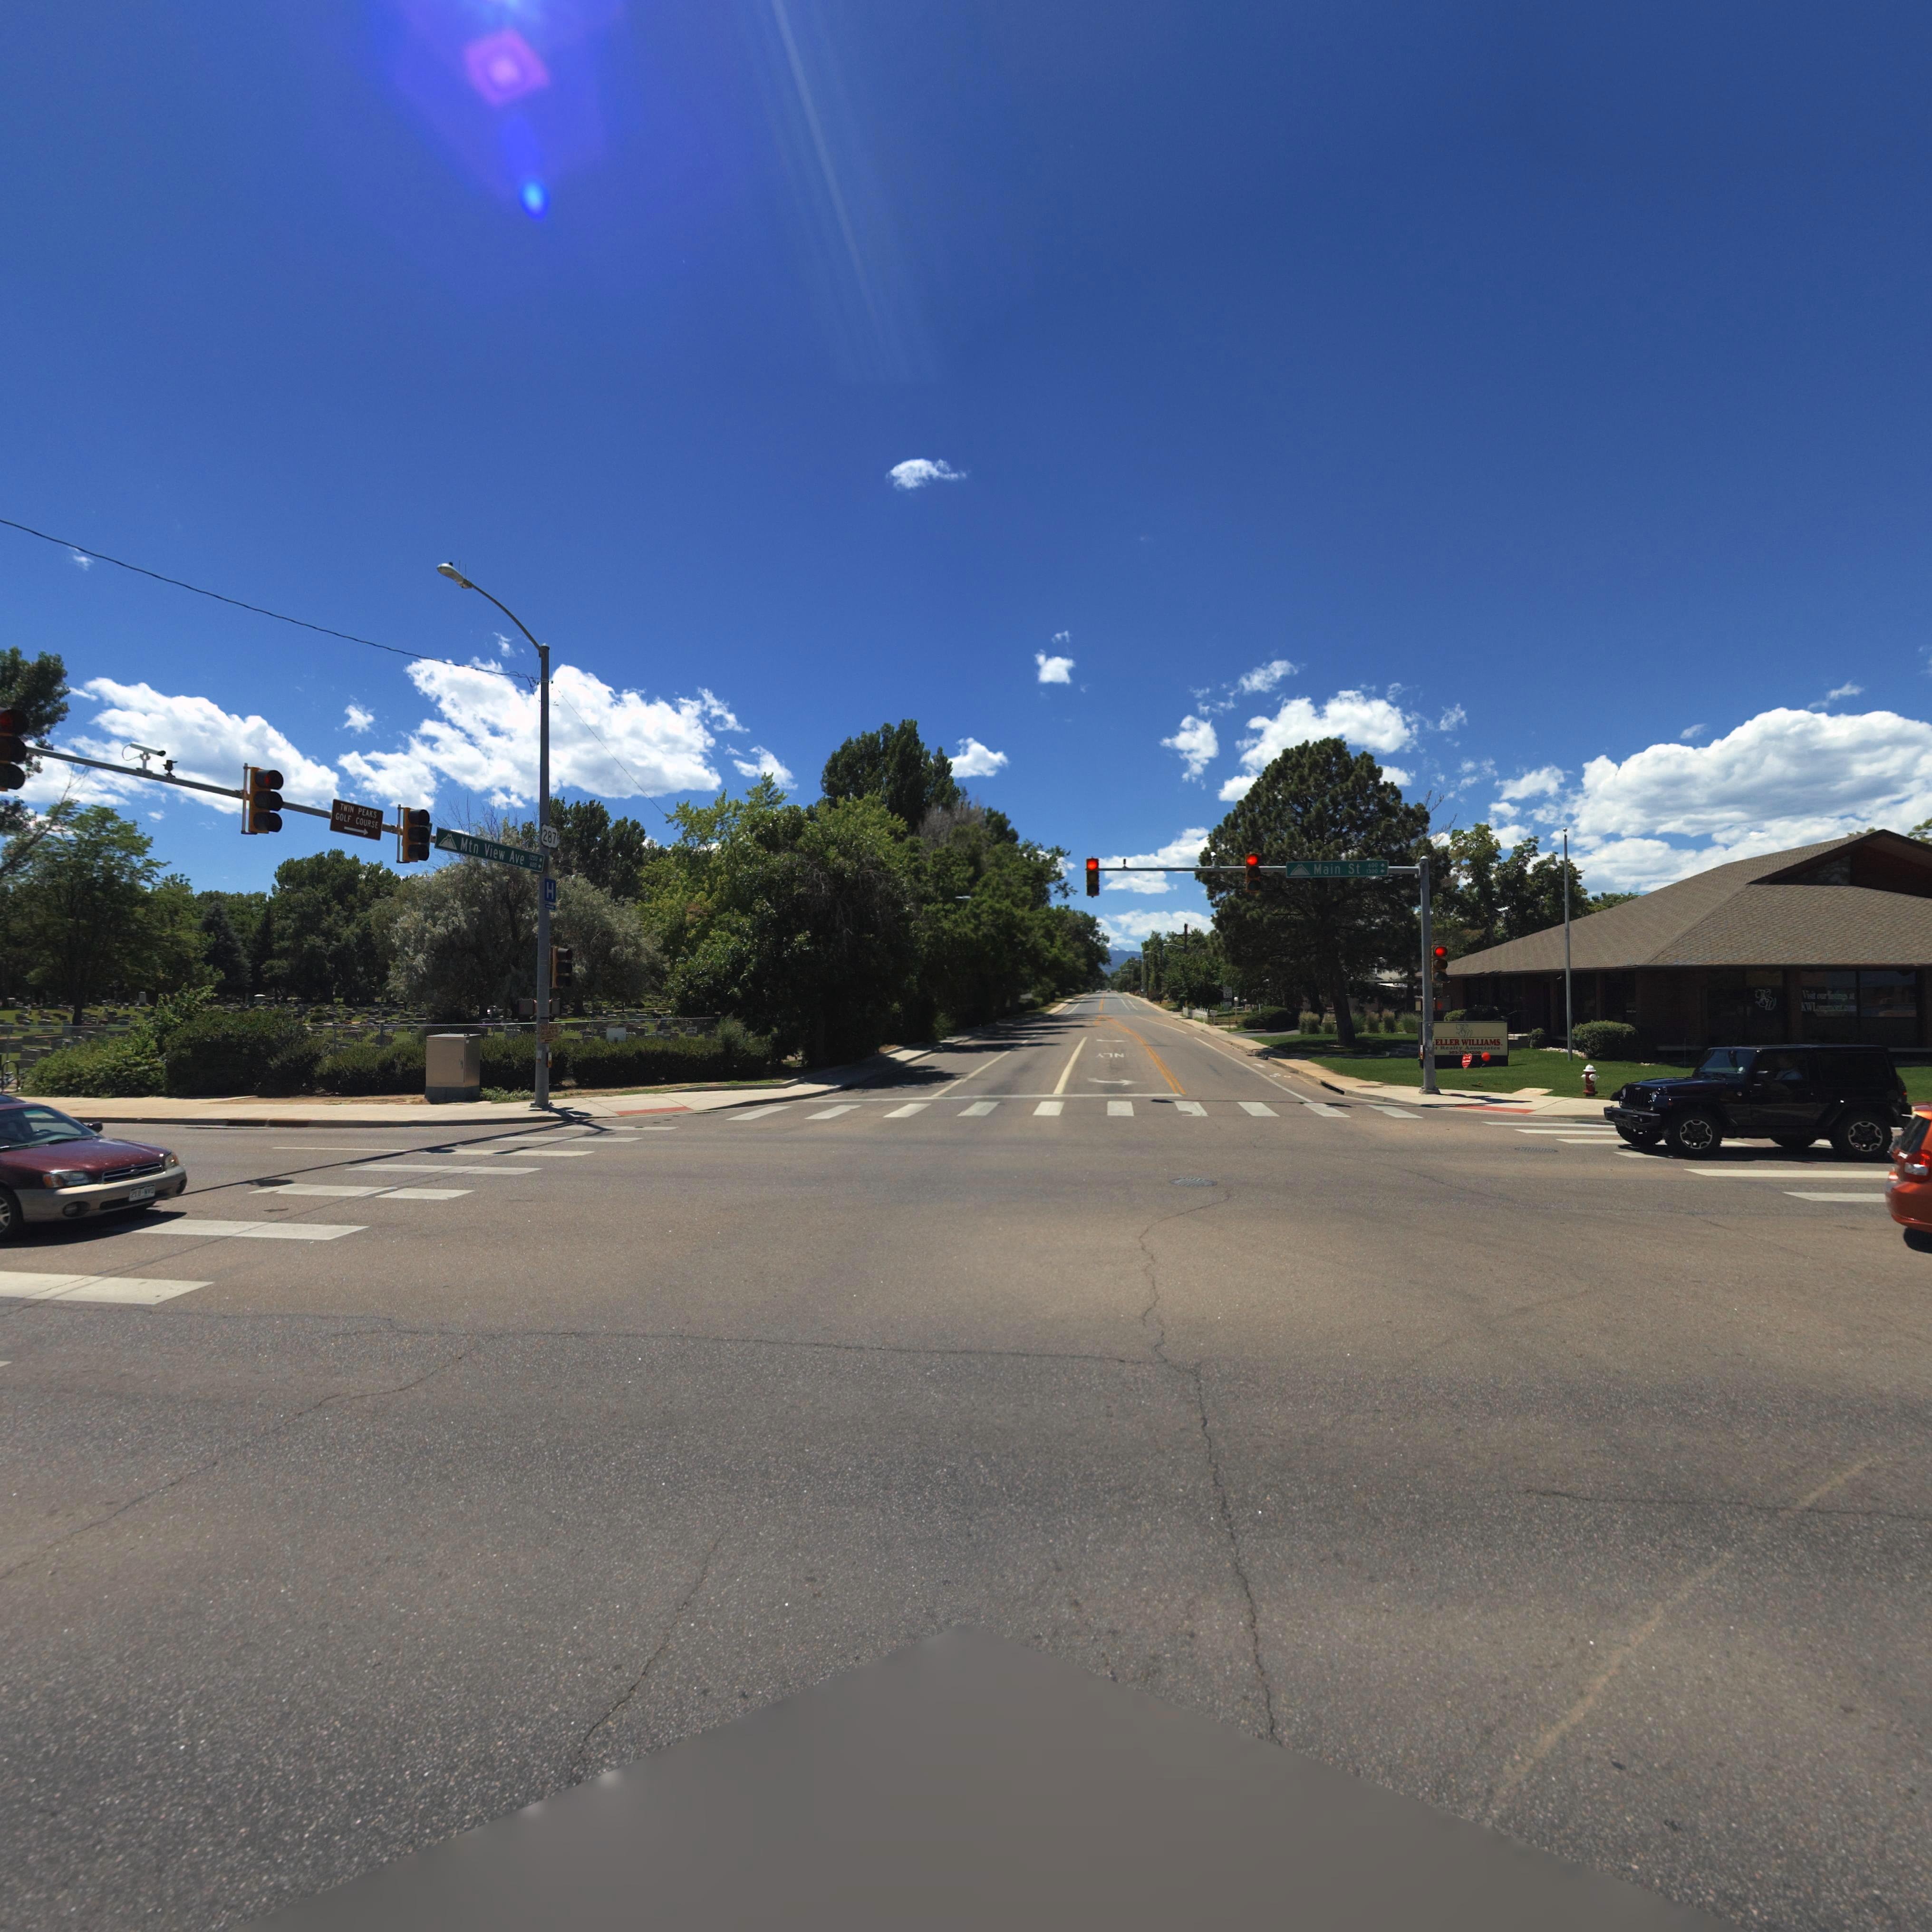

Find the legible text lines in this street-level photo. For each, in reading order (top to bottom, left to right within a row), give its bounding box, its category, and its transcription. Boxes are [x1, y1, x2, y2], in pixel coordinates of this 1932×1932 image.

[460, 837, 524, 865] StreetName: Mtn View Ave
[529, 854, 538, 861] StreetNumberRange: 1200
[529, 861, 541, 869] StreetNumberRange: 600 ->
[1314, 863, 1360, 874] StreetName: Main St
[1368, 862, 1378, 867] StreetNumberRange: 600
[1366, 868, 1385, 873] StreetNumberRange: 1300 ->
[1435, 1038, 1501, 1046] BusinessName: ELLER WILLIAMS
[1435, 1046, 1500, 1050] BusinessName: t Realty Associates